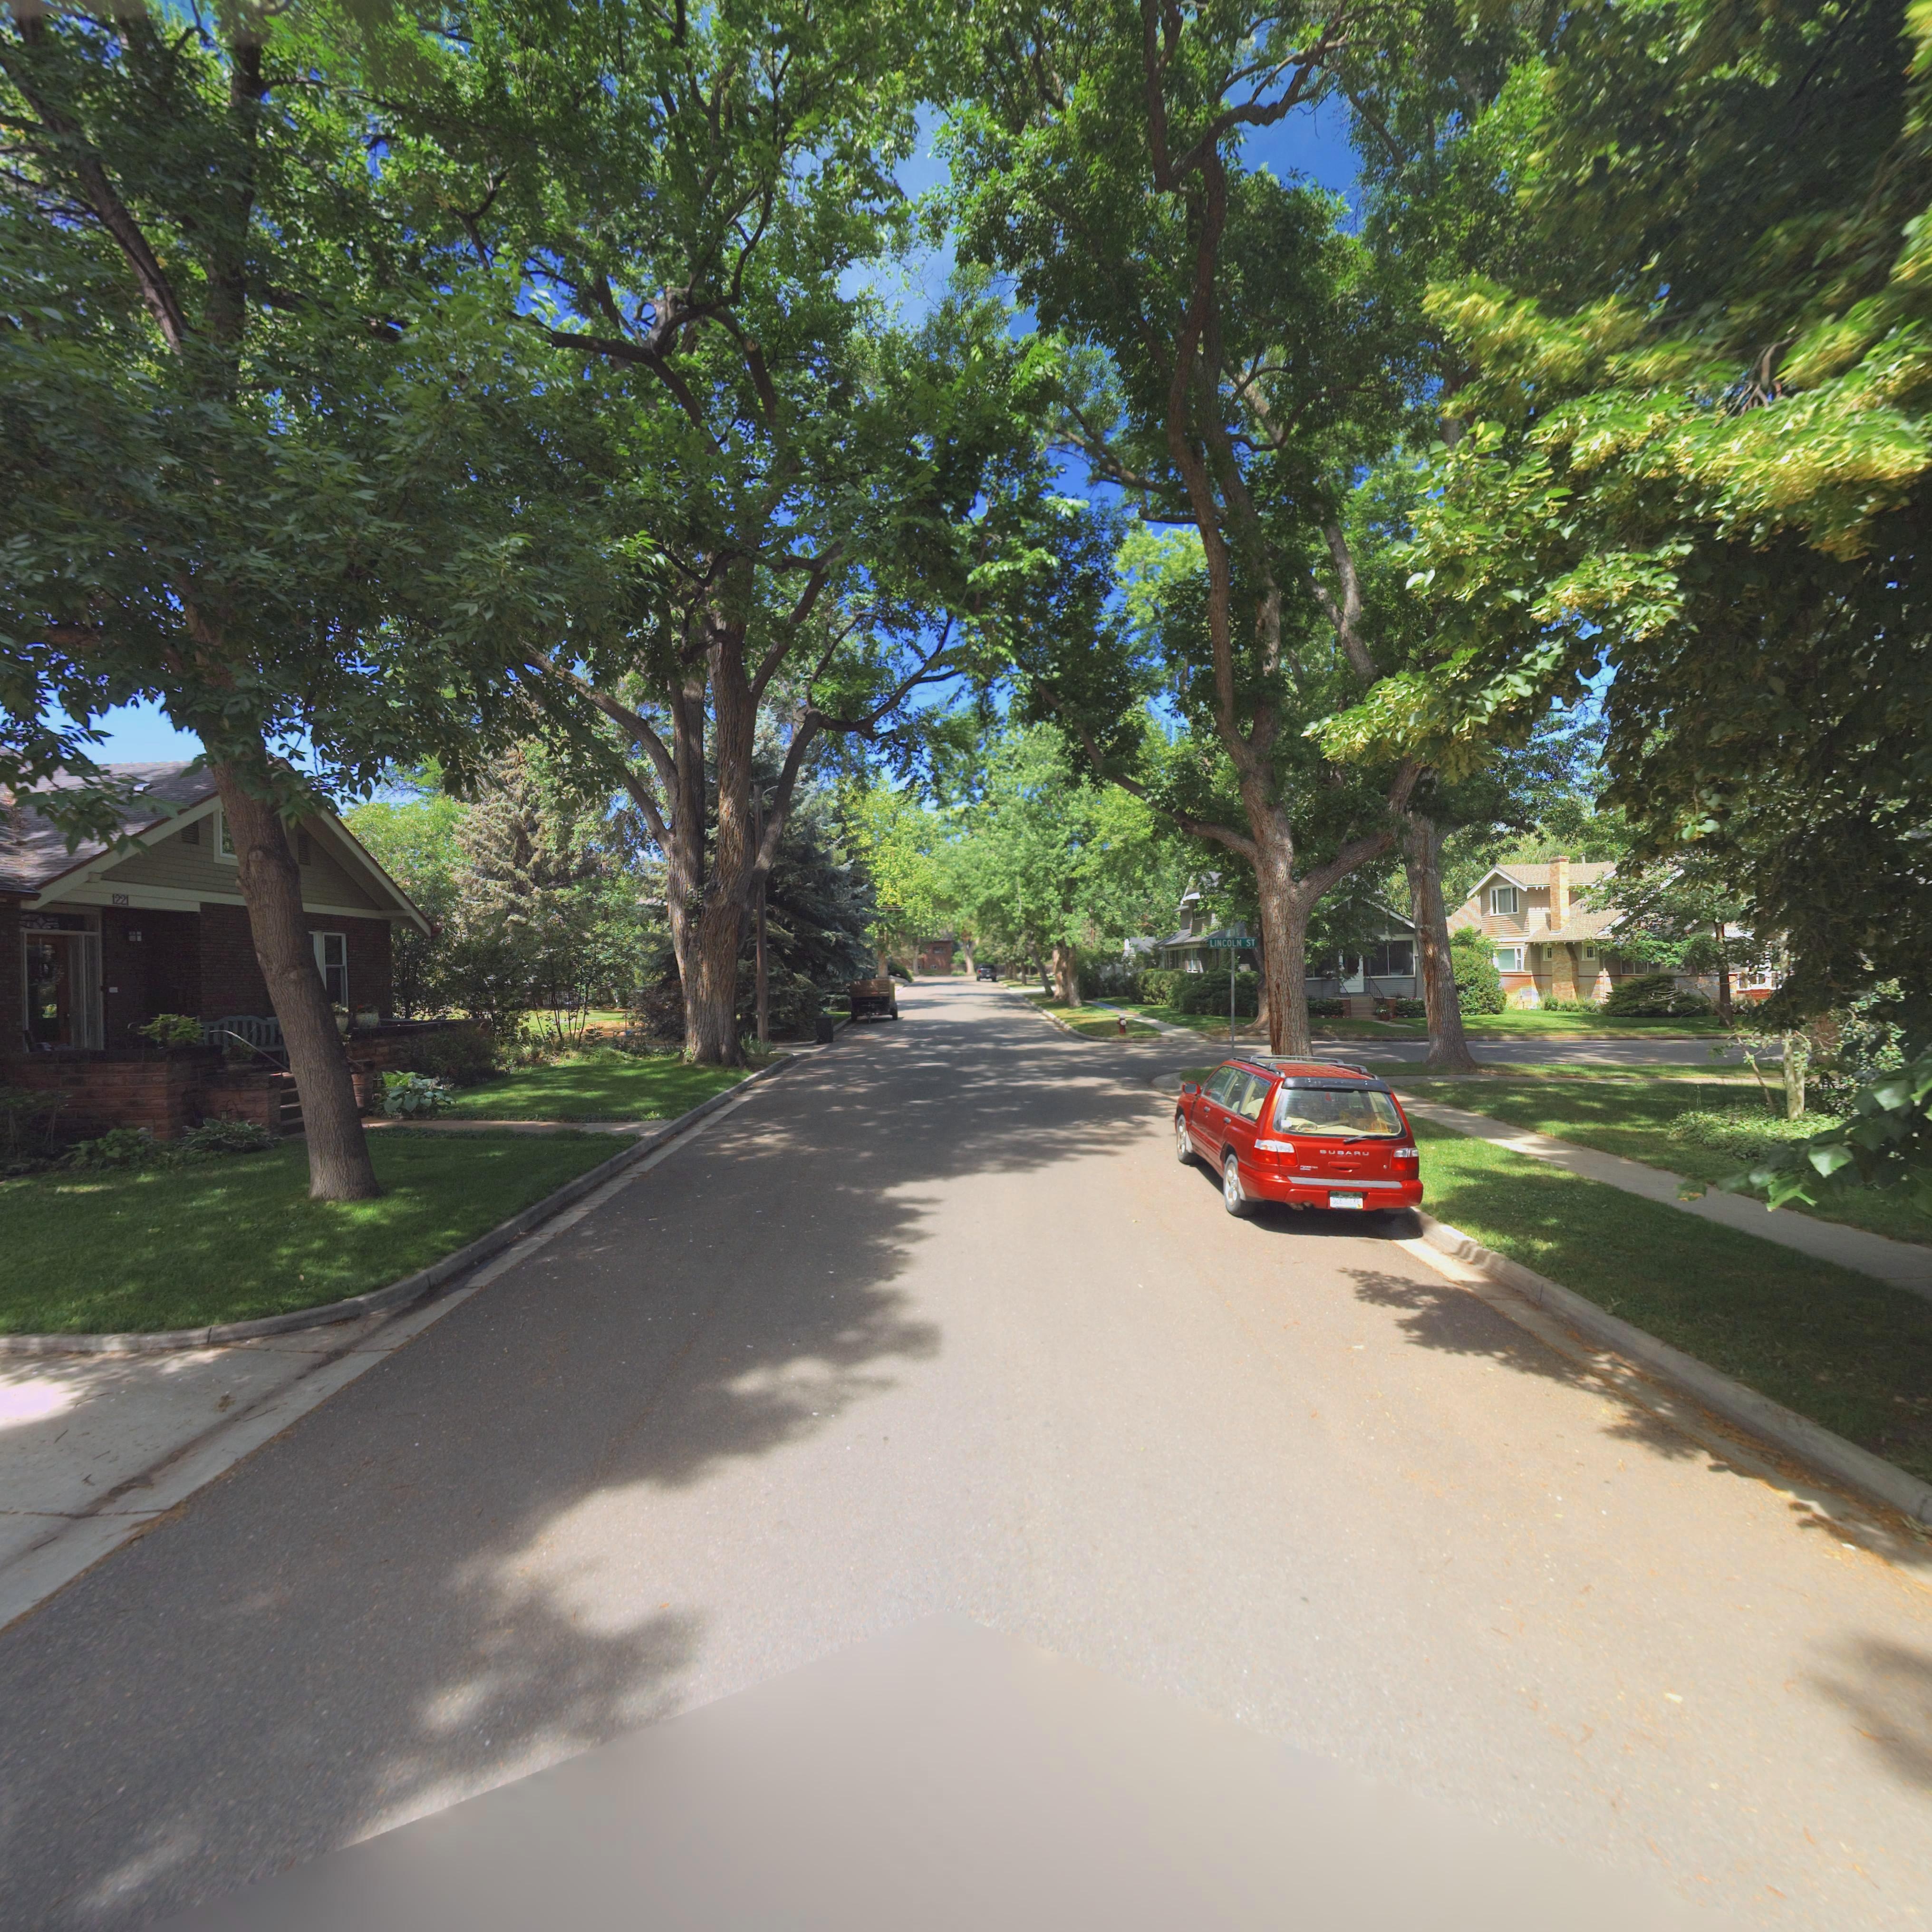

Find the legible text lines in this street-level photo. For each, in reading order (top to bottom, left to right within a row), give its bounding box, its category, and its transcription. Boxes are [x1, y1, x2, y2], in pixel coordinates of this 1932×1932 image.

[112, 893, 128, 905] StreetNumber: 1221
[1210, 939, 1255, 947] StreetName: LINCOLN ST